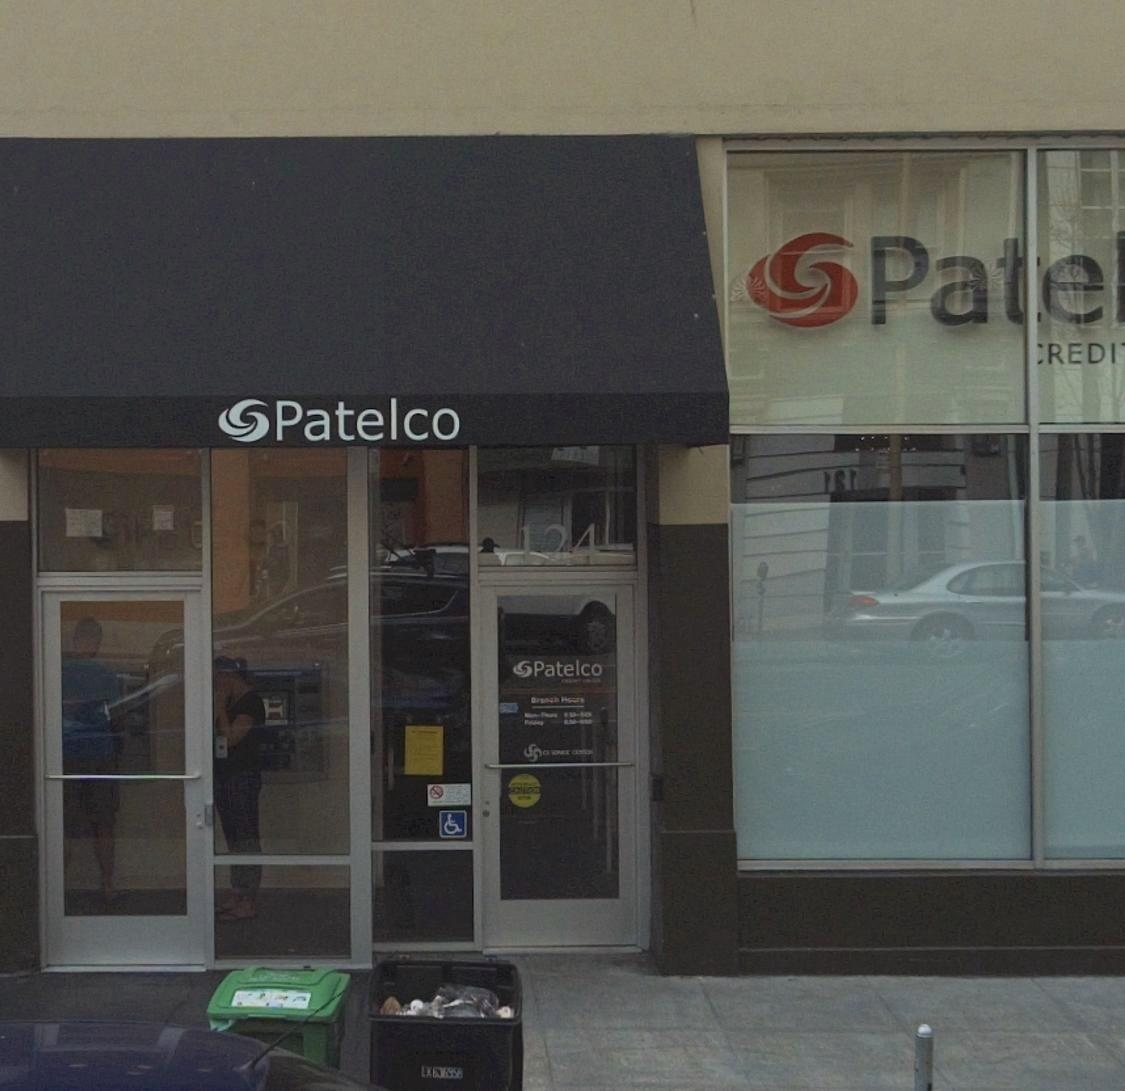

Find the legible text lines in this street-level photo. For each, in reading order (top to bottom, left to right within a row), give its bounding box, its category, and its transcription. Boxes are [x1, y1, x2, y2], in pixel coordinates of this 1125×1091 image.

[866, 230, 1110, 332] BusinessName: Pa*e
[1045, 339, 1118, 368] None: REDI
[272, 394, 463, 444] BusinessName: Patelco
[518, 520, 602, 568] StreetNumber: 124
[532, 658, 604, 679] BusinessName: Patelco